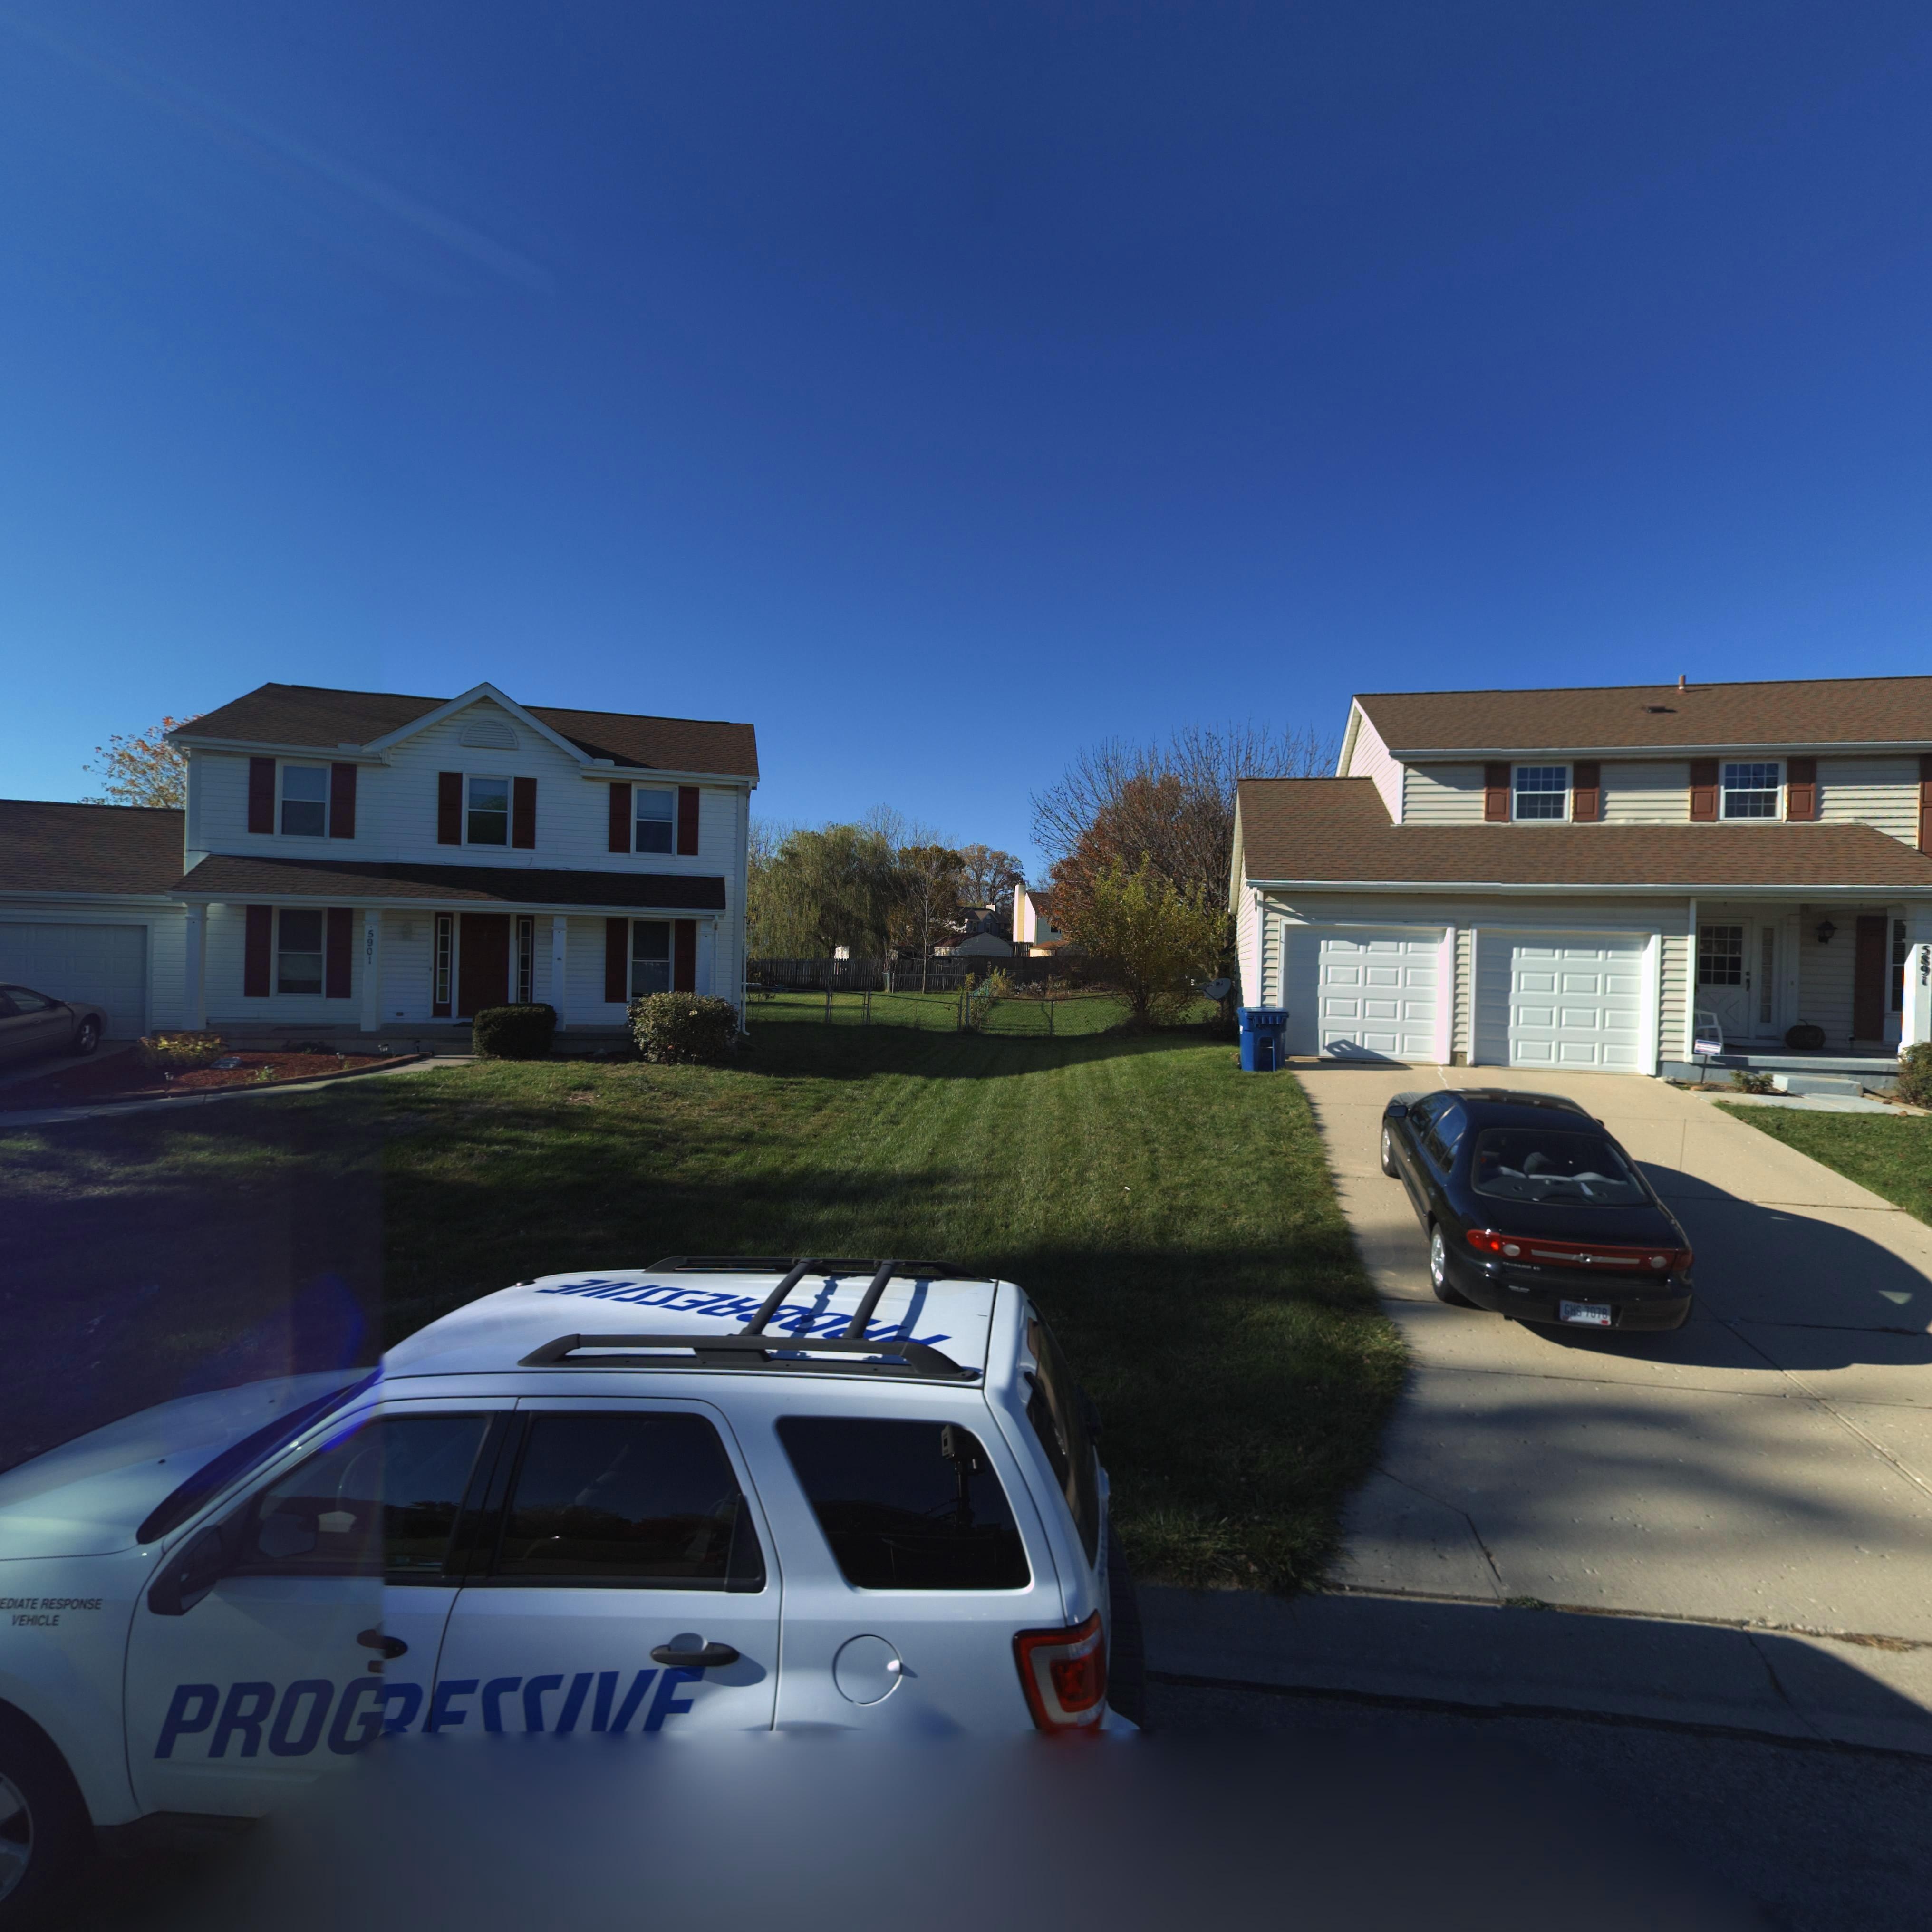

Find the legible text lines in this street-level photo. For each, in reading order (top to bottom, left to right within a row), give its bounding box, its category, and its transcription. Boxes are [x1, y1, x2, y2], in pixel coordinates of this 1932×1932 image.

[366, 928, 375, 966] StreetNumber: 5901
[1919, 944, 1931, 987] StreetNumber: 5891